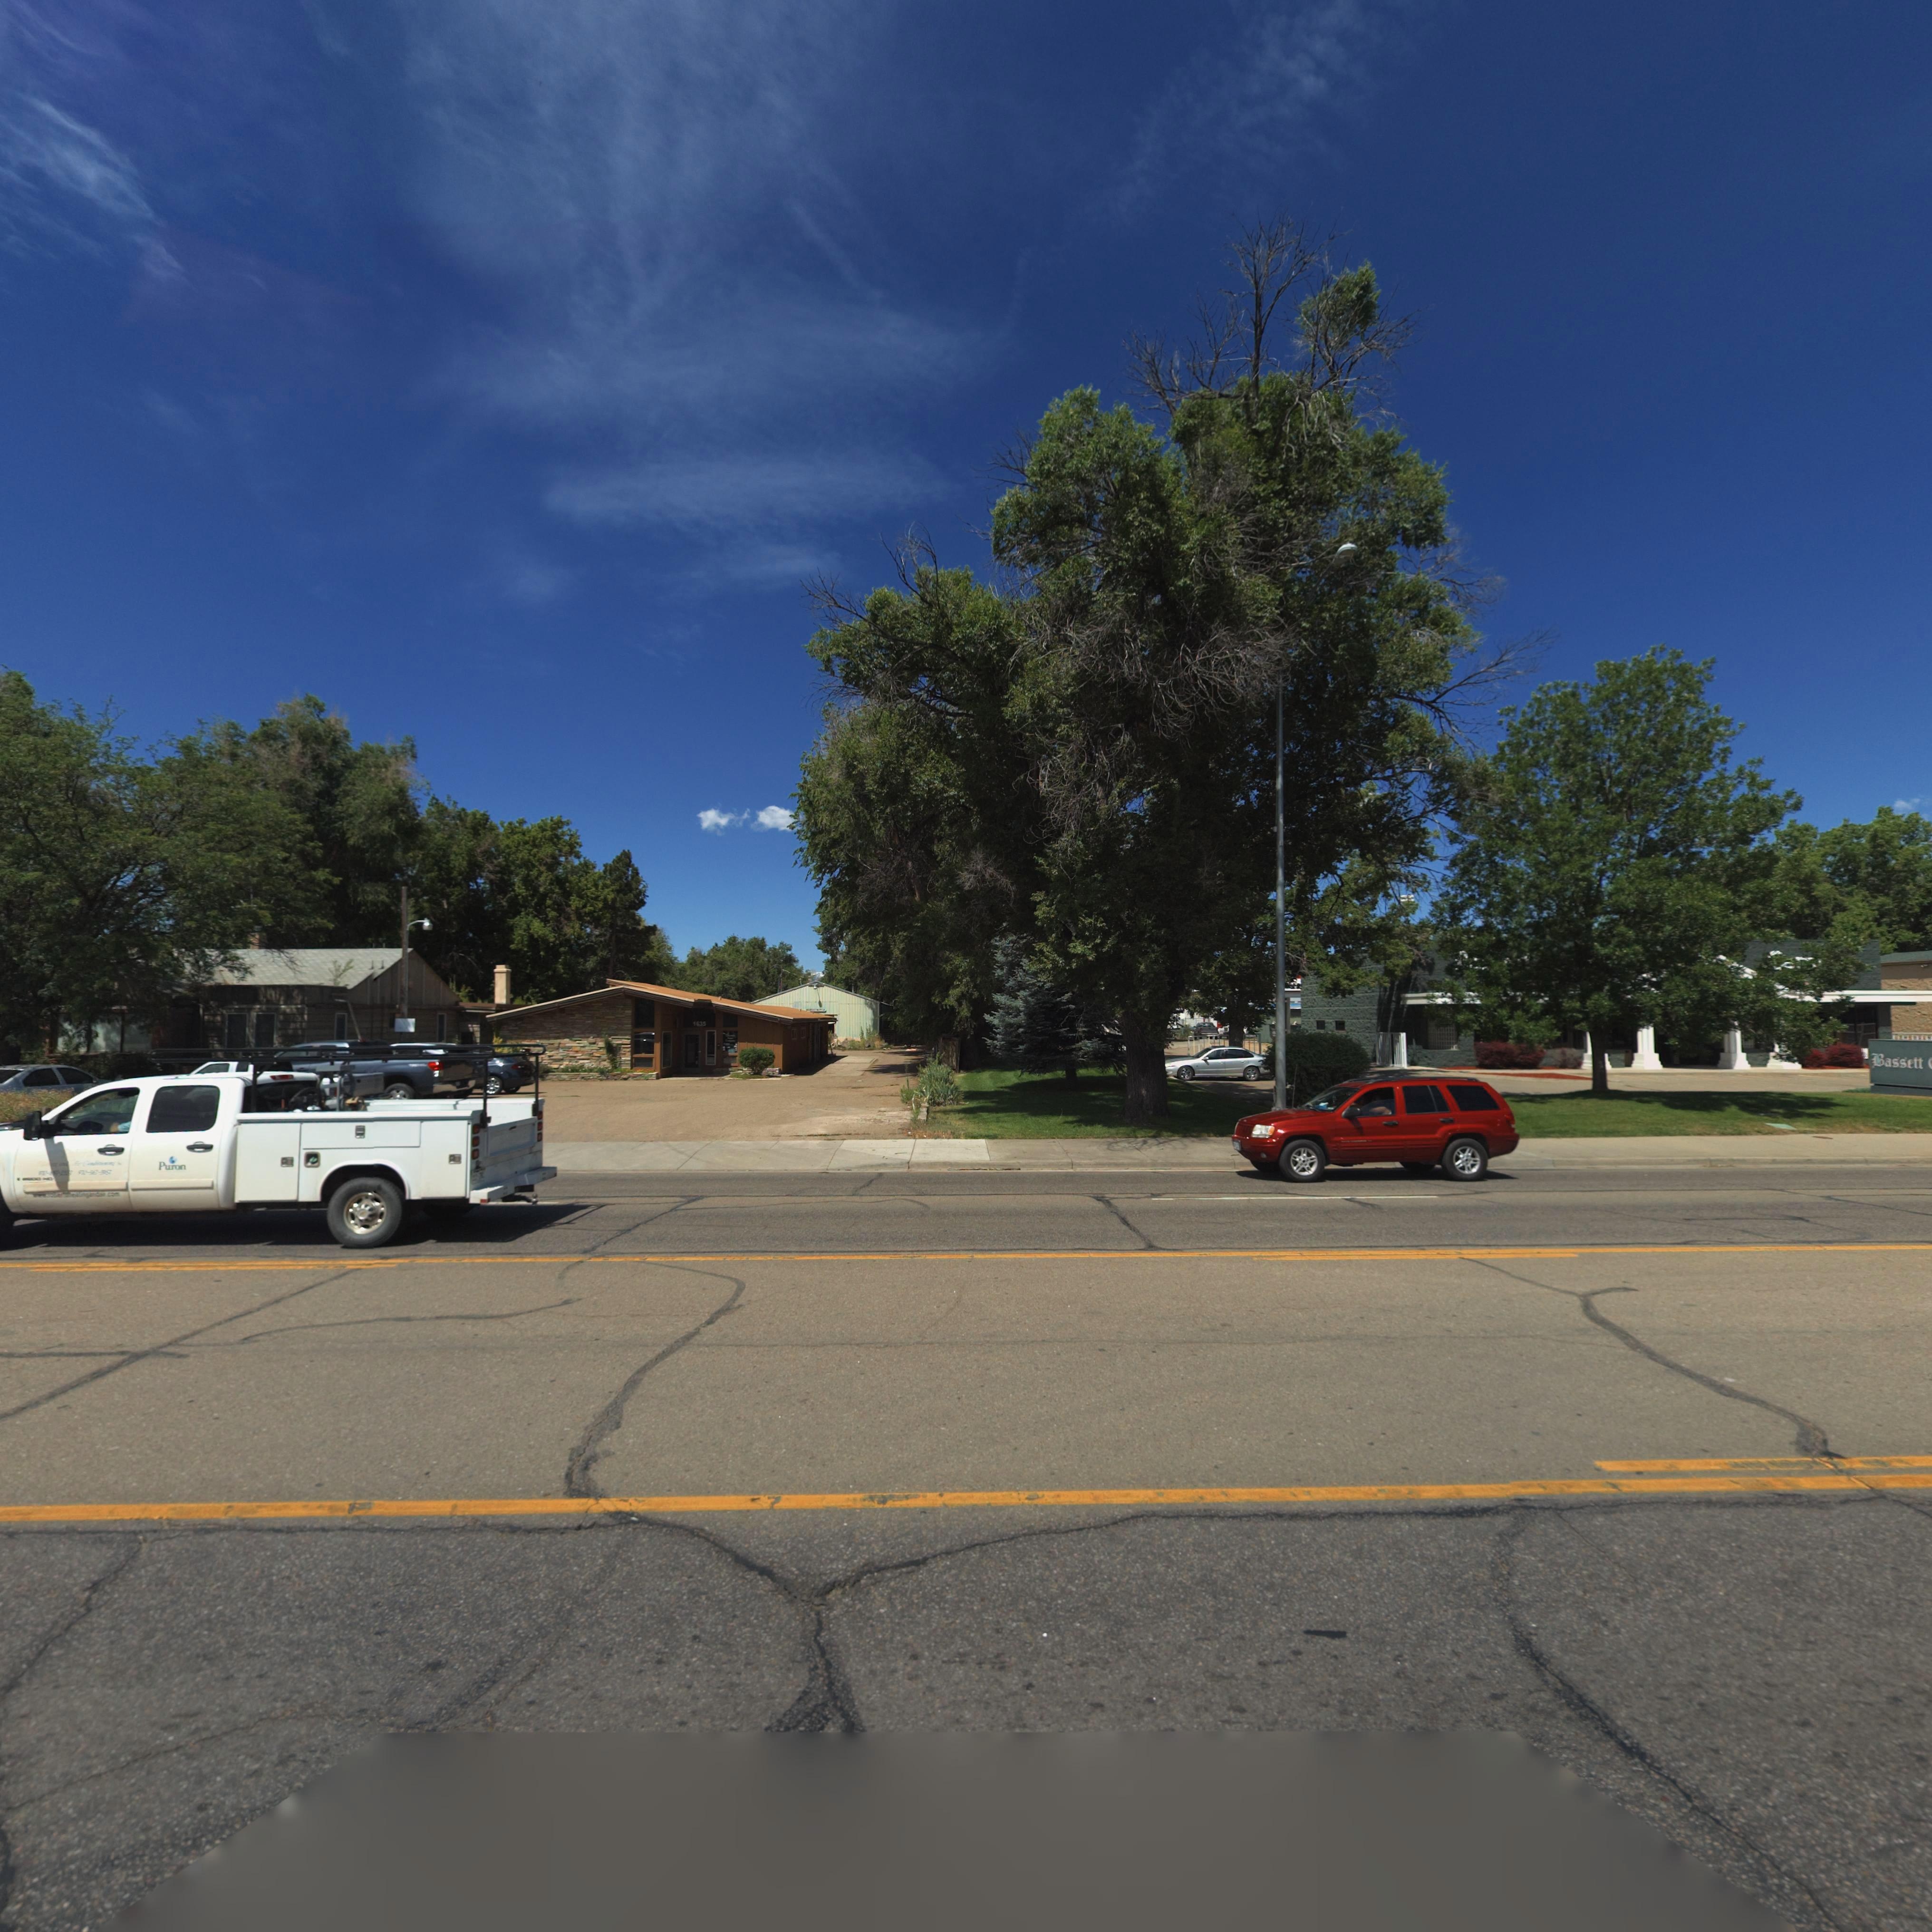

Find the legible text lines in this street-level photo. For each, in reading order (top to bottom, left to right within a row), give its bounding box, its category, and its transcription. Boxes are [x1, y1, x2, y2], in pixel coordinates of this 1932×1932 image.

[692, 1021, 706, 1026] StreetNumber: 1635
[1870, 1052, 1924, 1070] BusinessName: Bassett